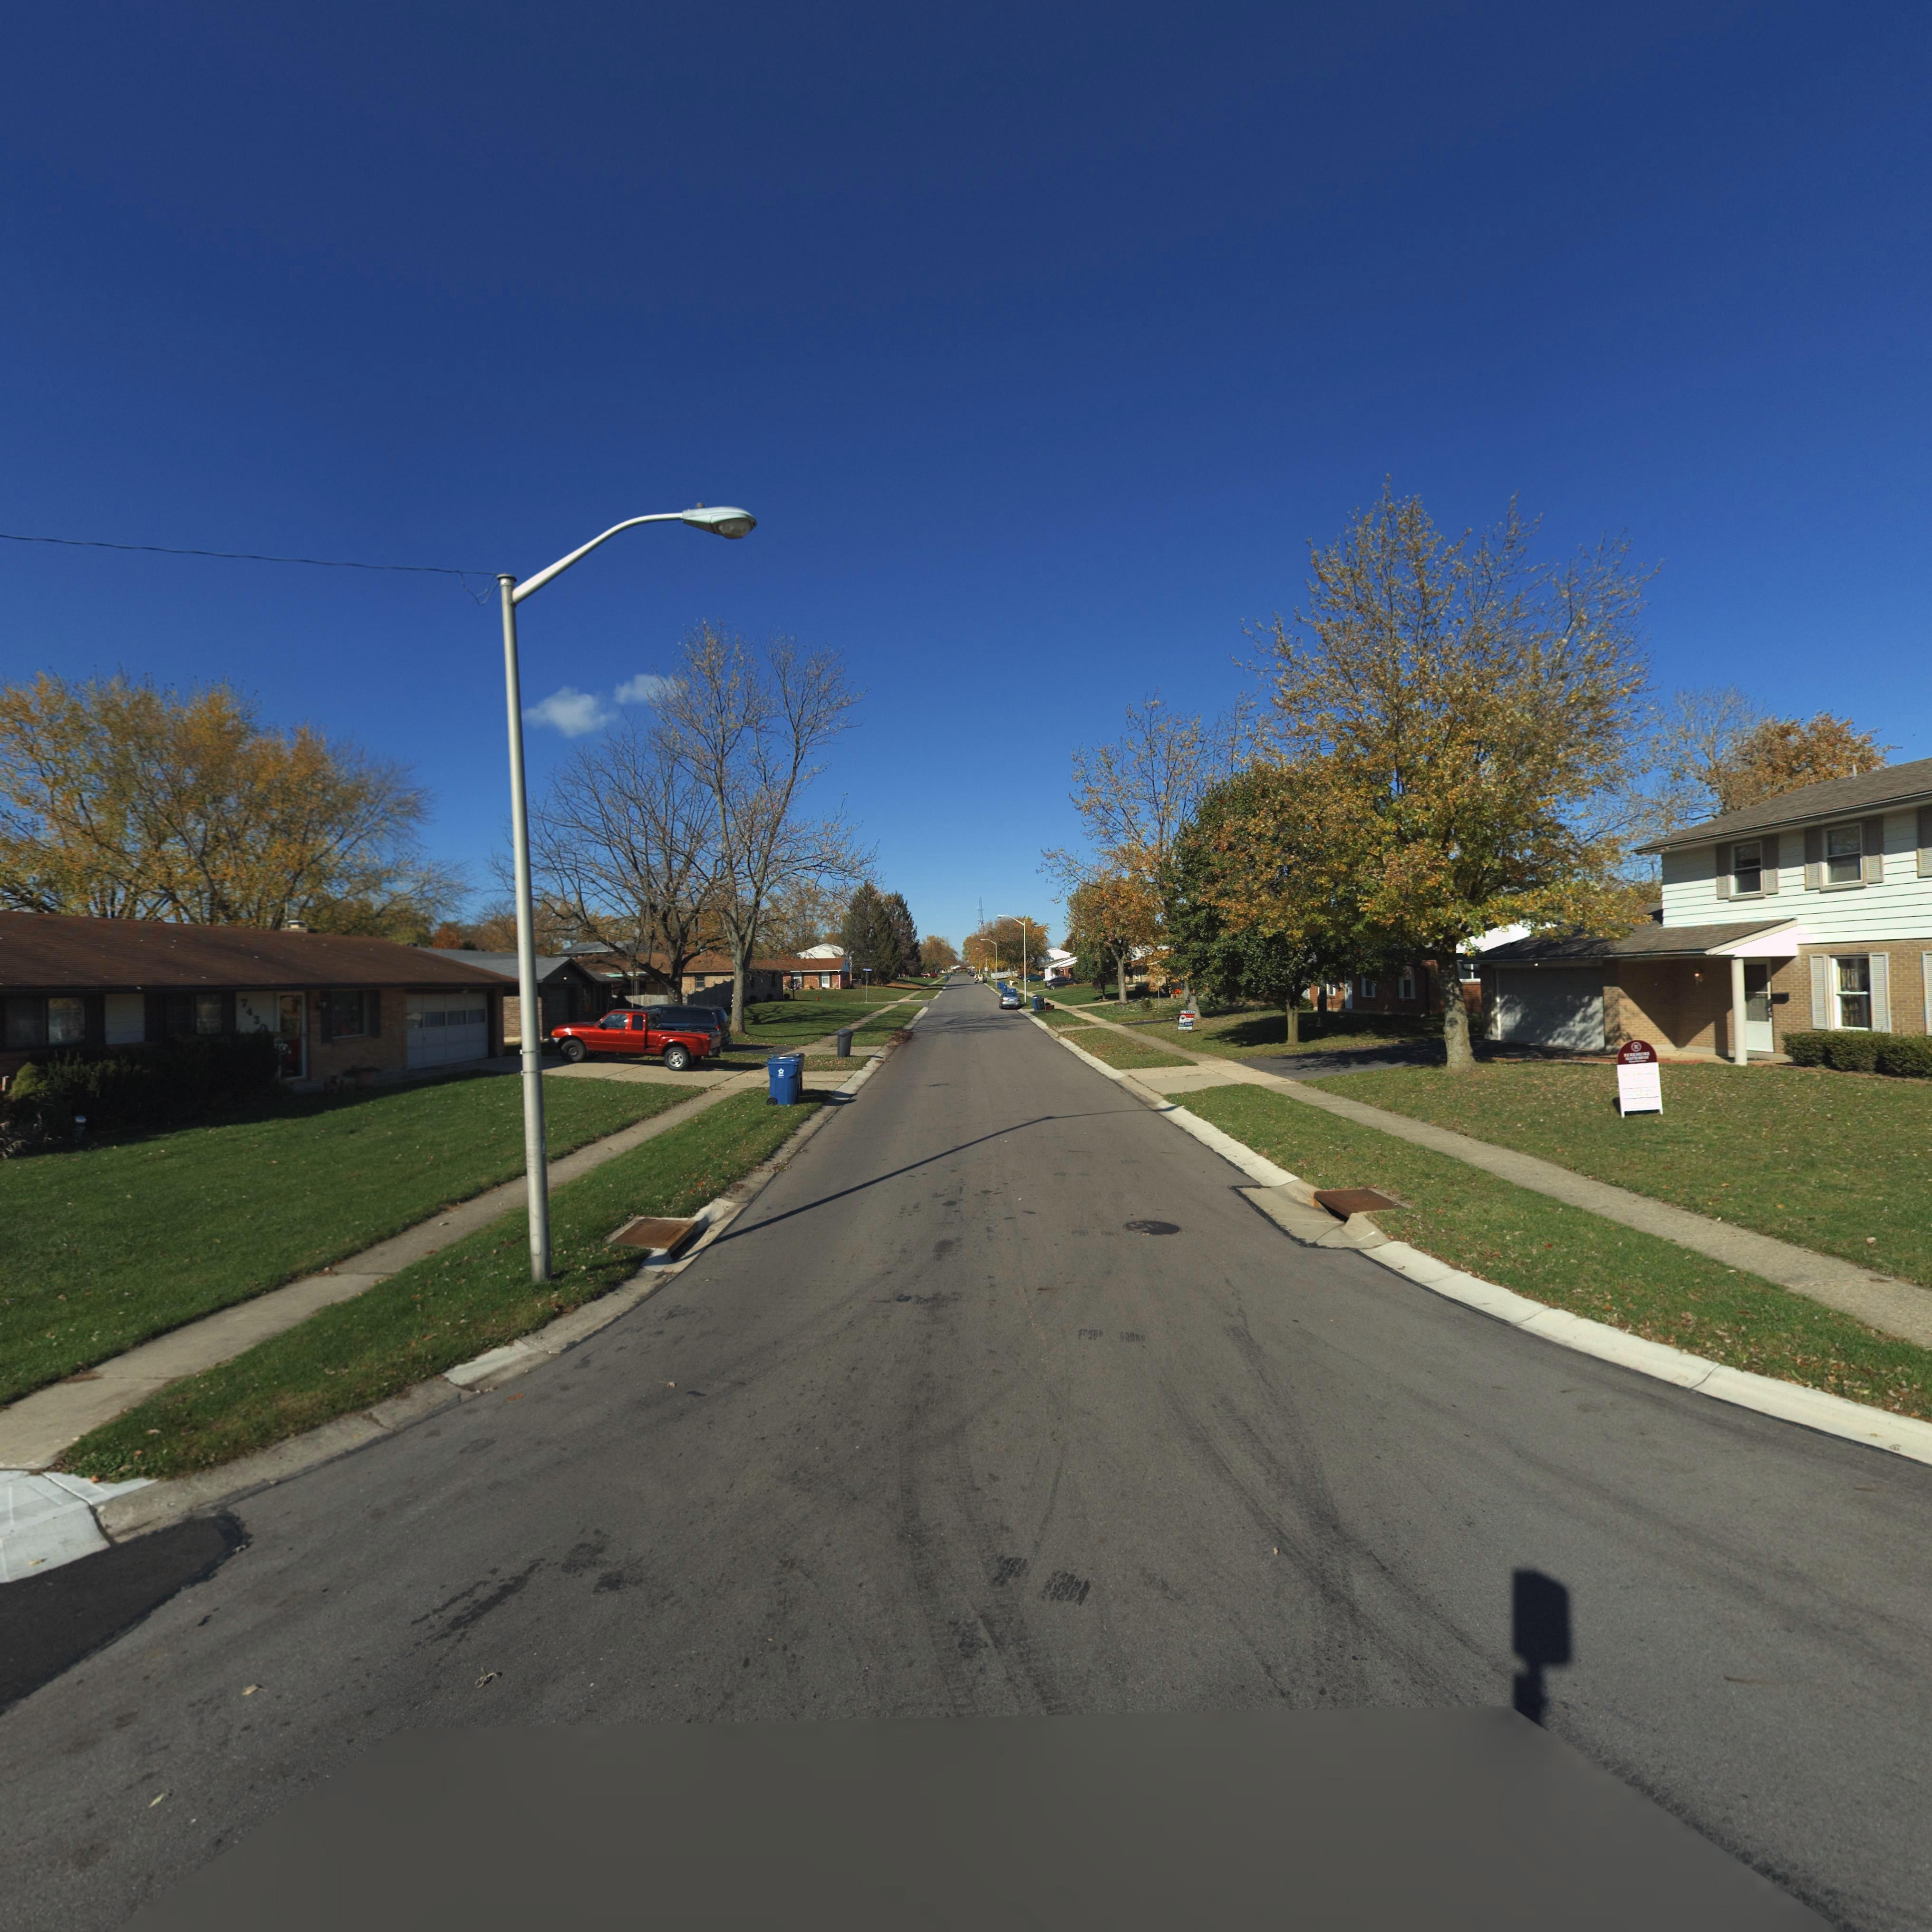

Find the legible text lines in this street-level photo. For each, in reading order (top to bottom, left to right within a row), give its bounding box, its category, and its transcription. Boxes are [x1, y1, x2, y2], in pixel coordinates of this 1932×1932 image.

[239, 997, 262, 1026] StreetNumber: 743